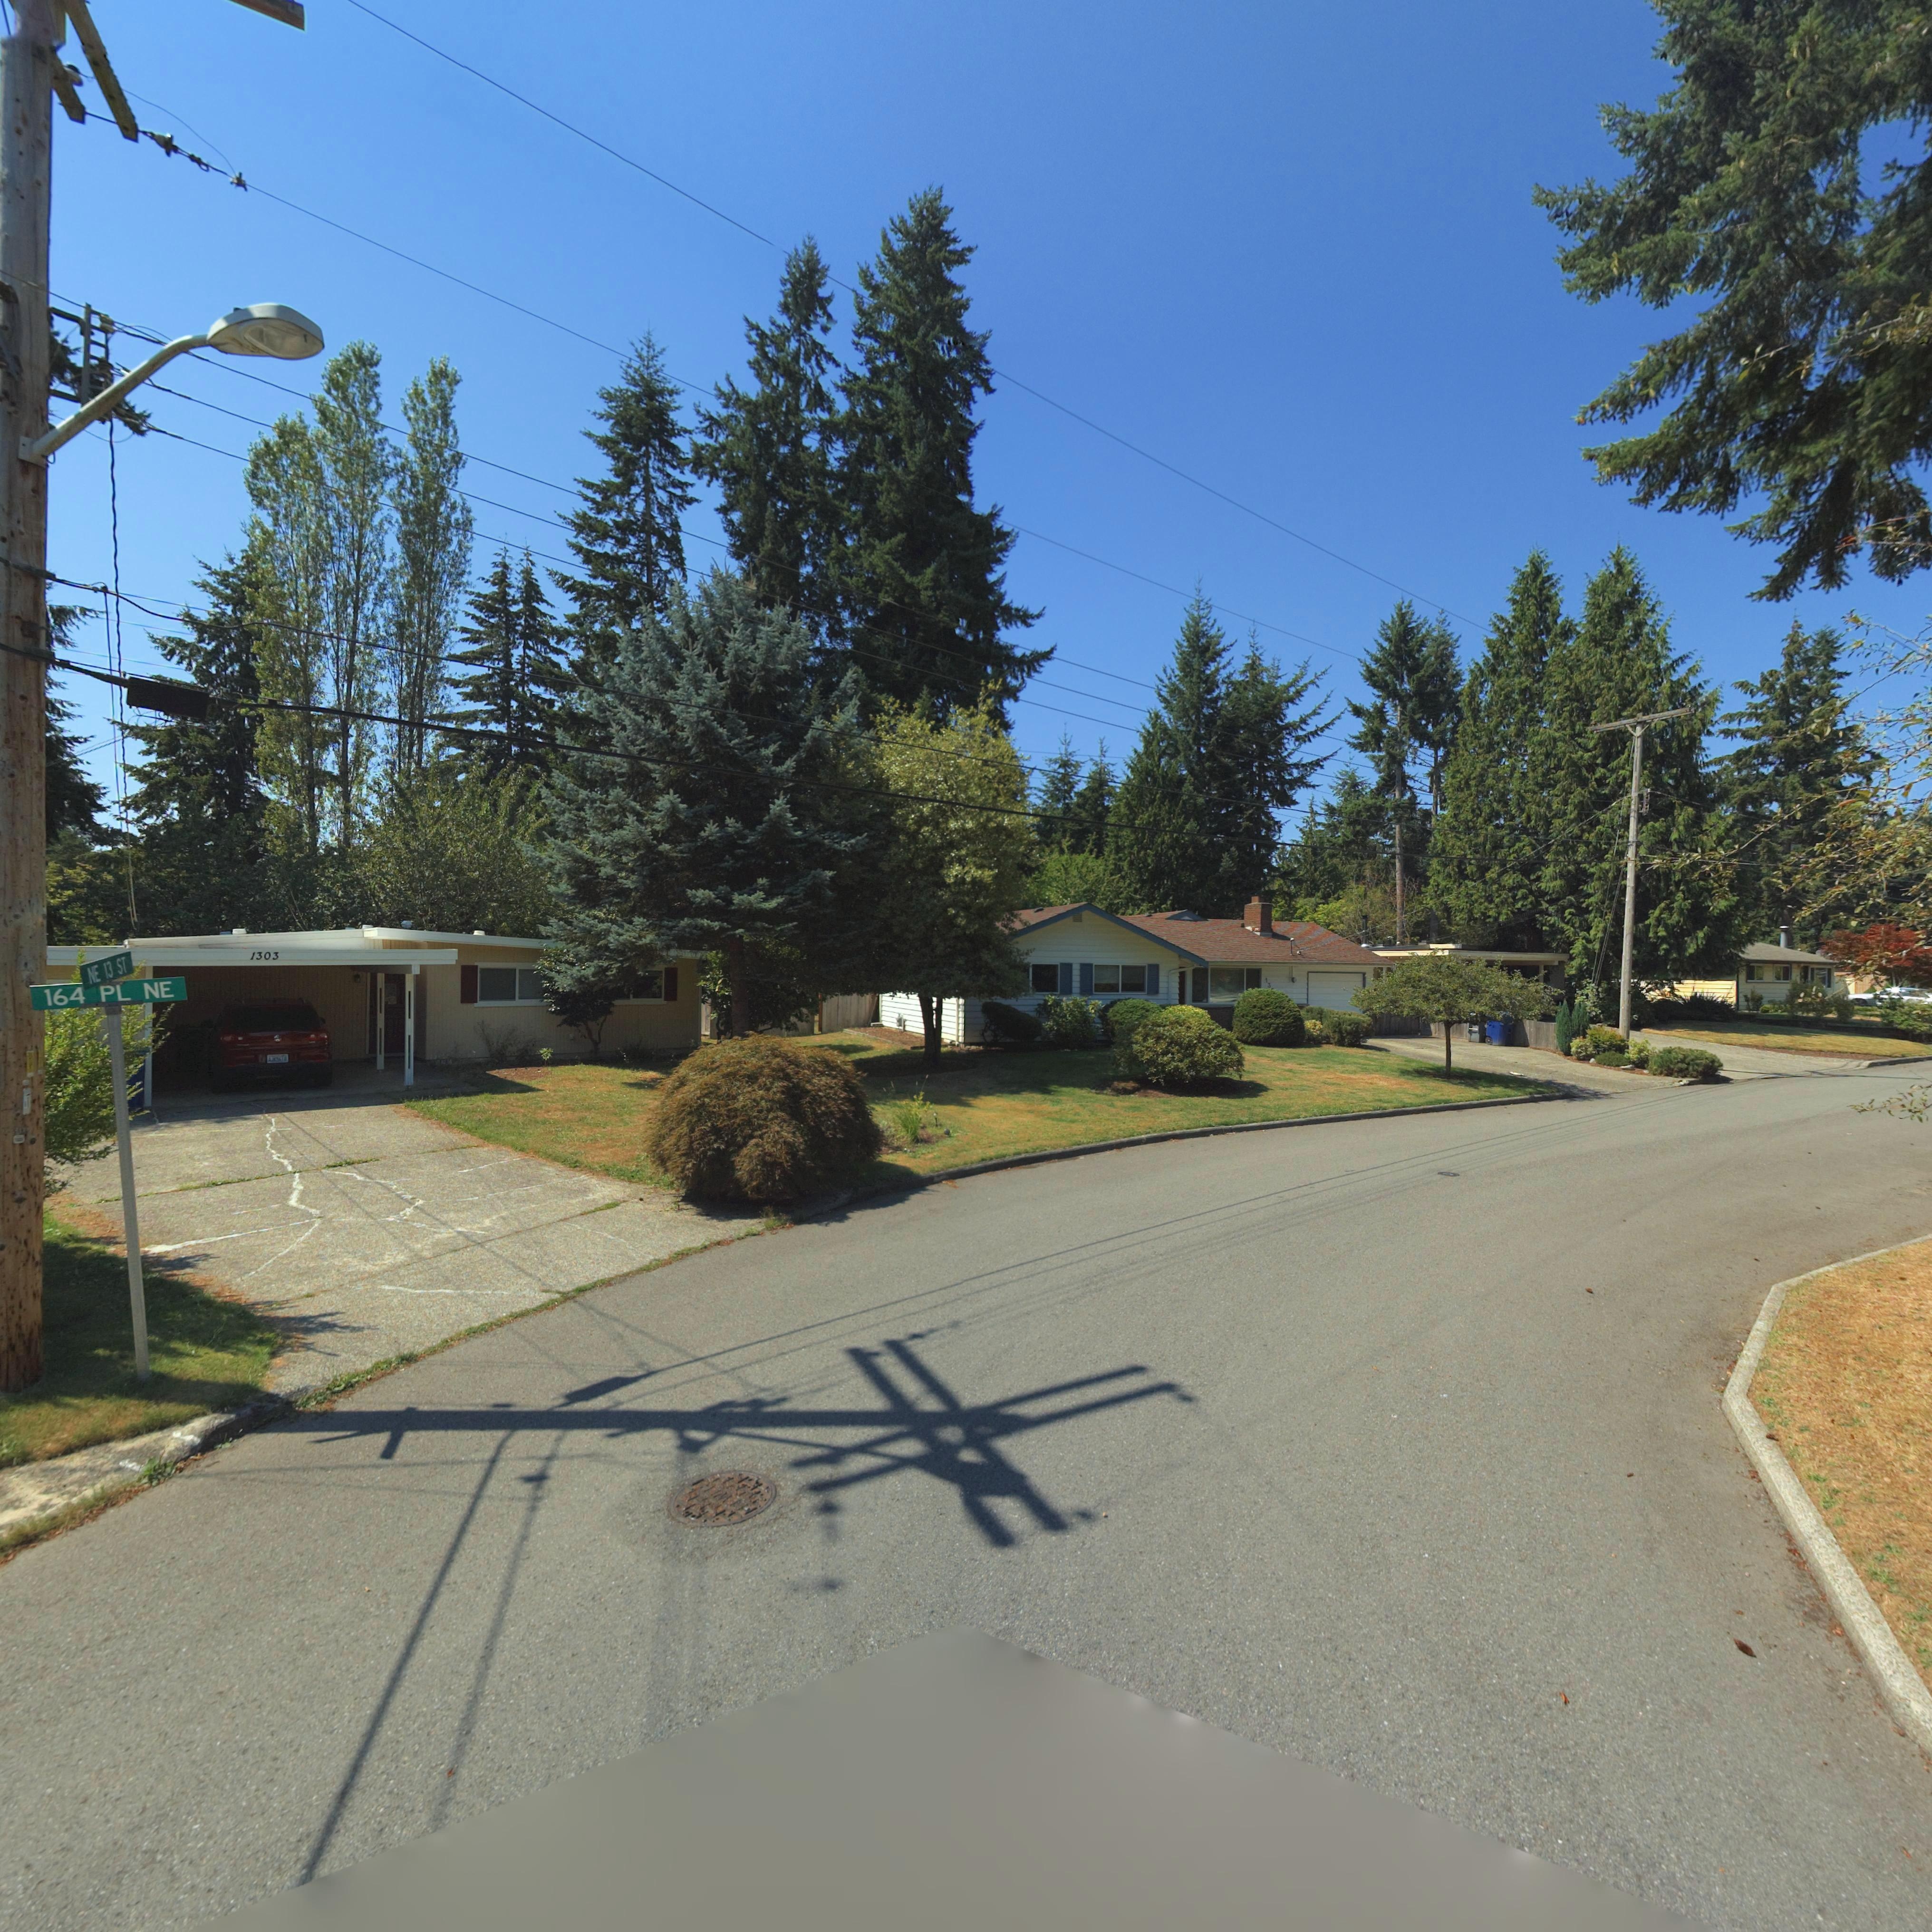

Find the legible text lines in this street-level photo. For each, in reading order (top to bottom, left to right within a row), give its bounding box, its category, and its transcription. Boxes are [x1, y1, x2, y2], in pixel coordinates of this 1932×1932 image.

[87, 955, 130, 985] StreetName: NE 13 ST
[45, 979, 173, 1007] StreetName: 164 PL NE
[250, 951, 280, 961] StreetNumber: 1303
[1264, 976, 1272, 988] StreetNumber: 13